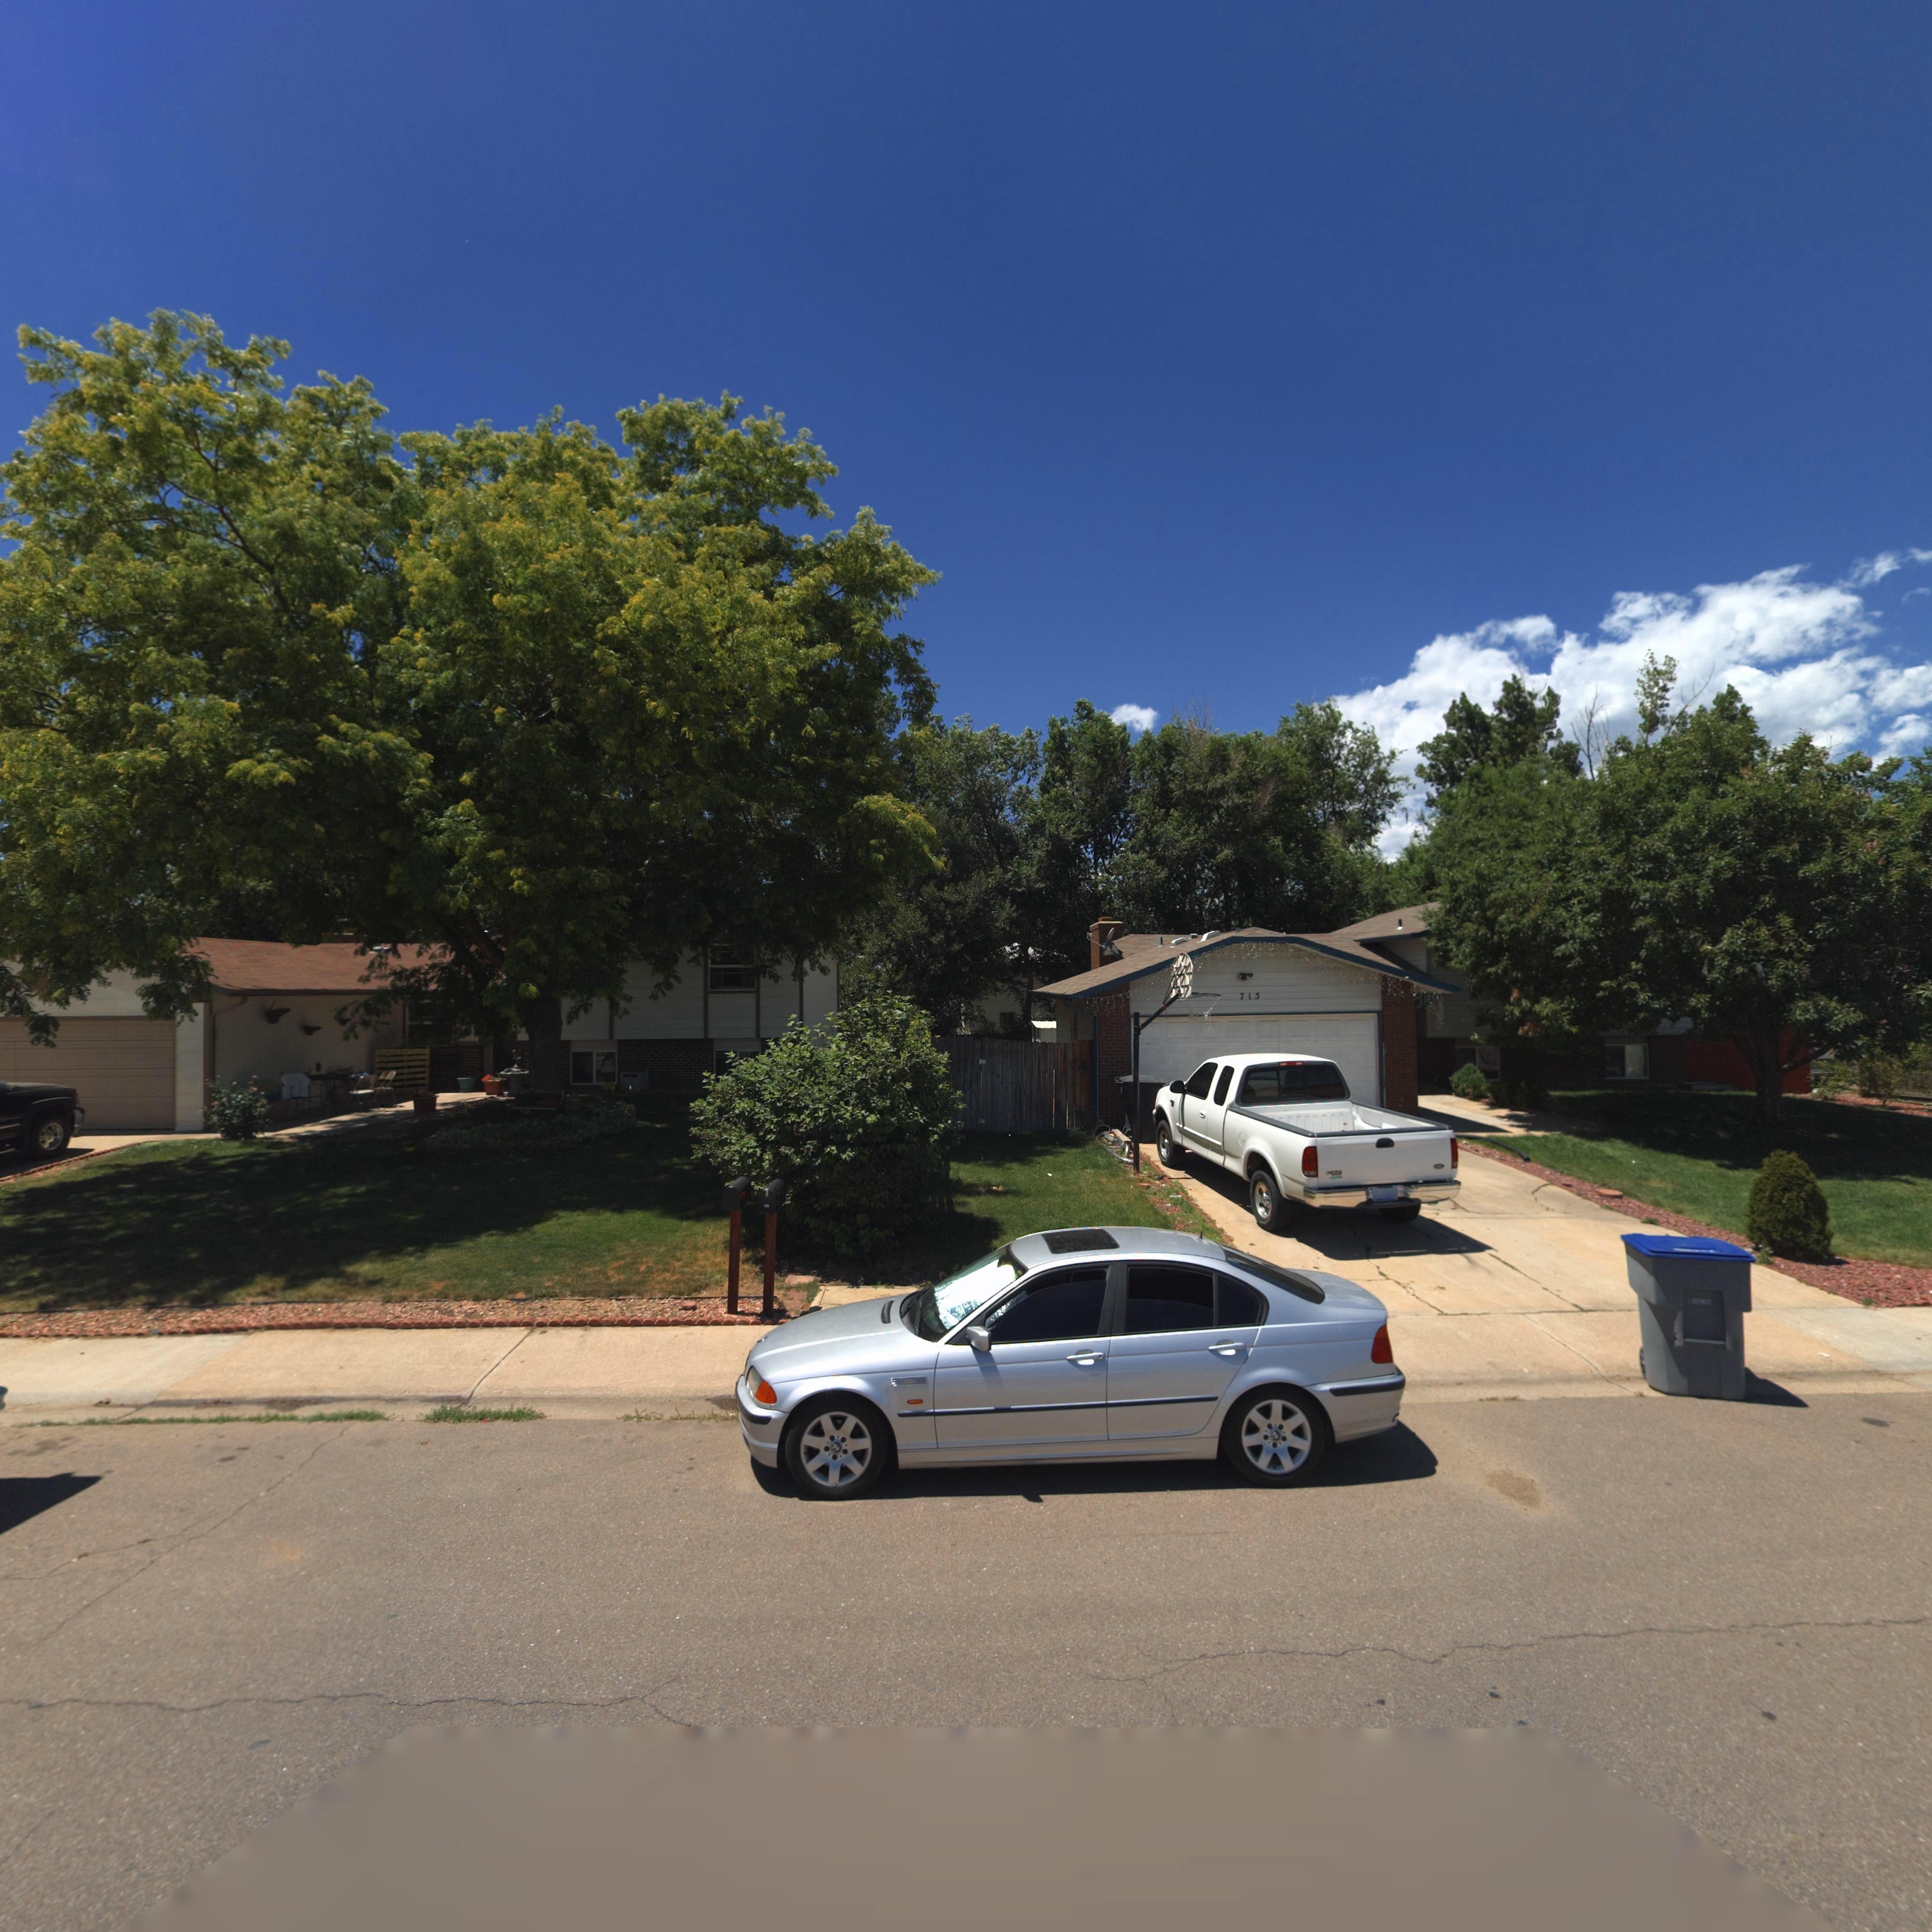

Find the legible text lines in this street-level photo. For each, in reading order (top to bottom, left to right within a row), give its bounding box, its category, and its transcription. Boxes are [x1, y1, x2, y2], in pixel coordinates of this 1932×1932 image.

[1239, 991, 1261, 1000] StreetNumber: 715